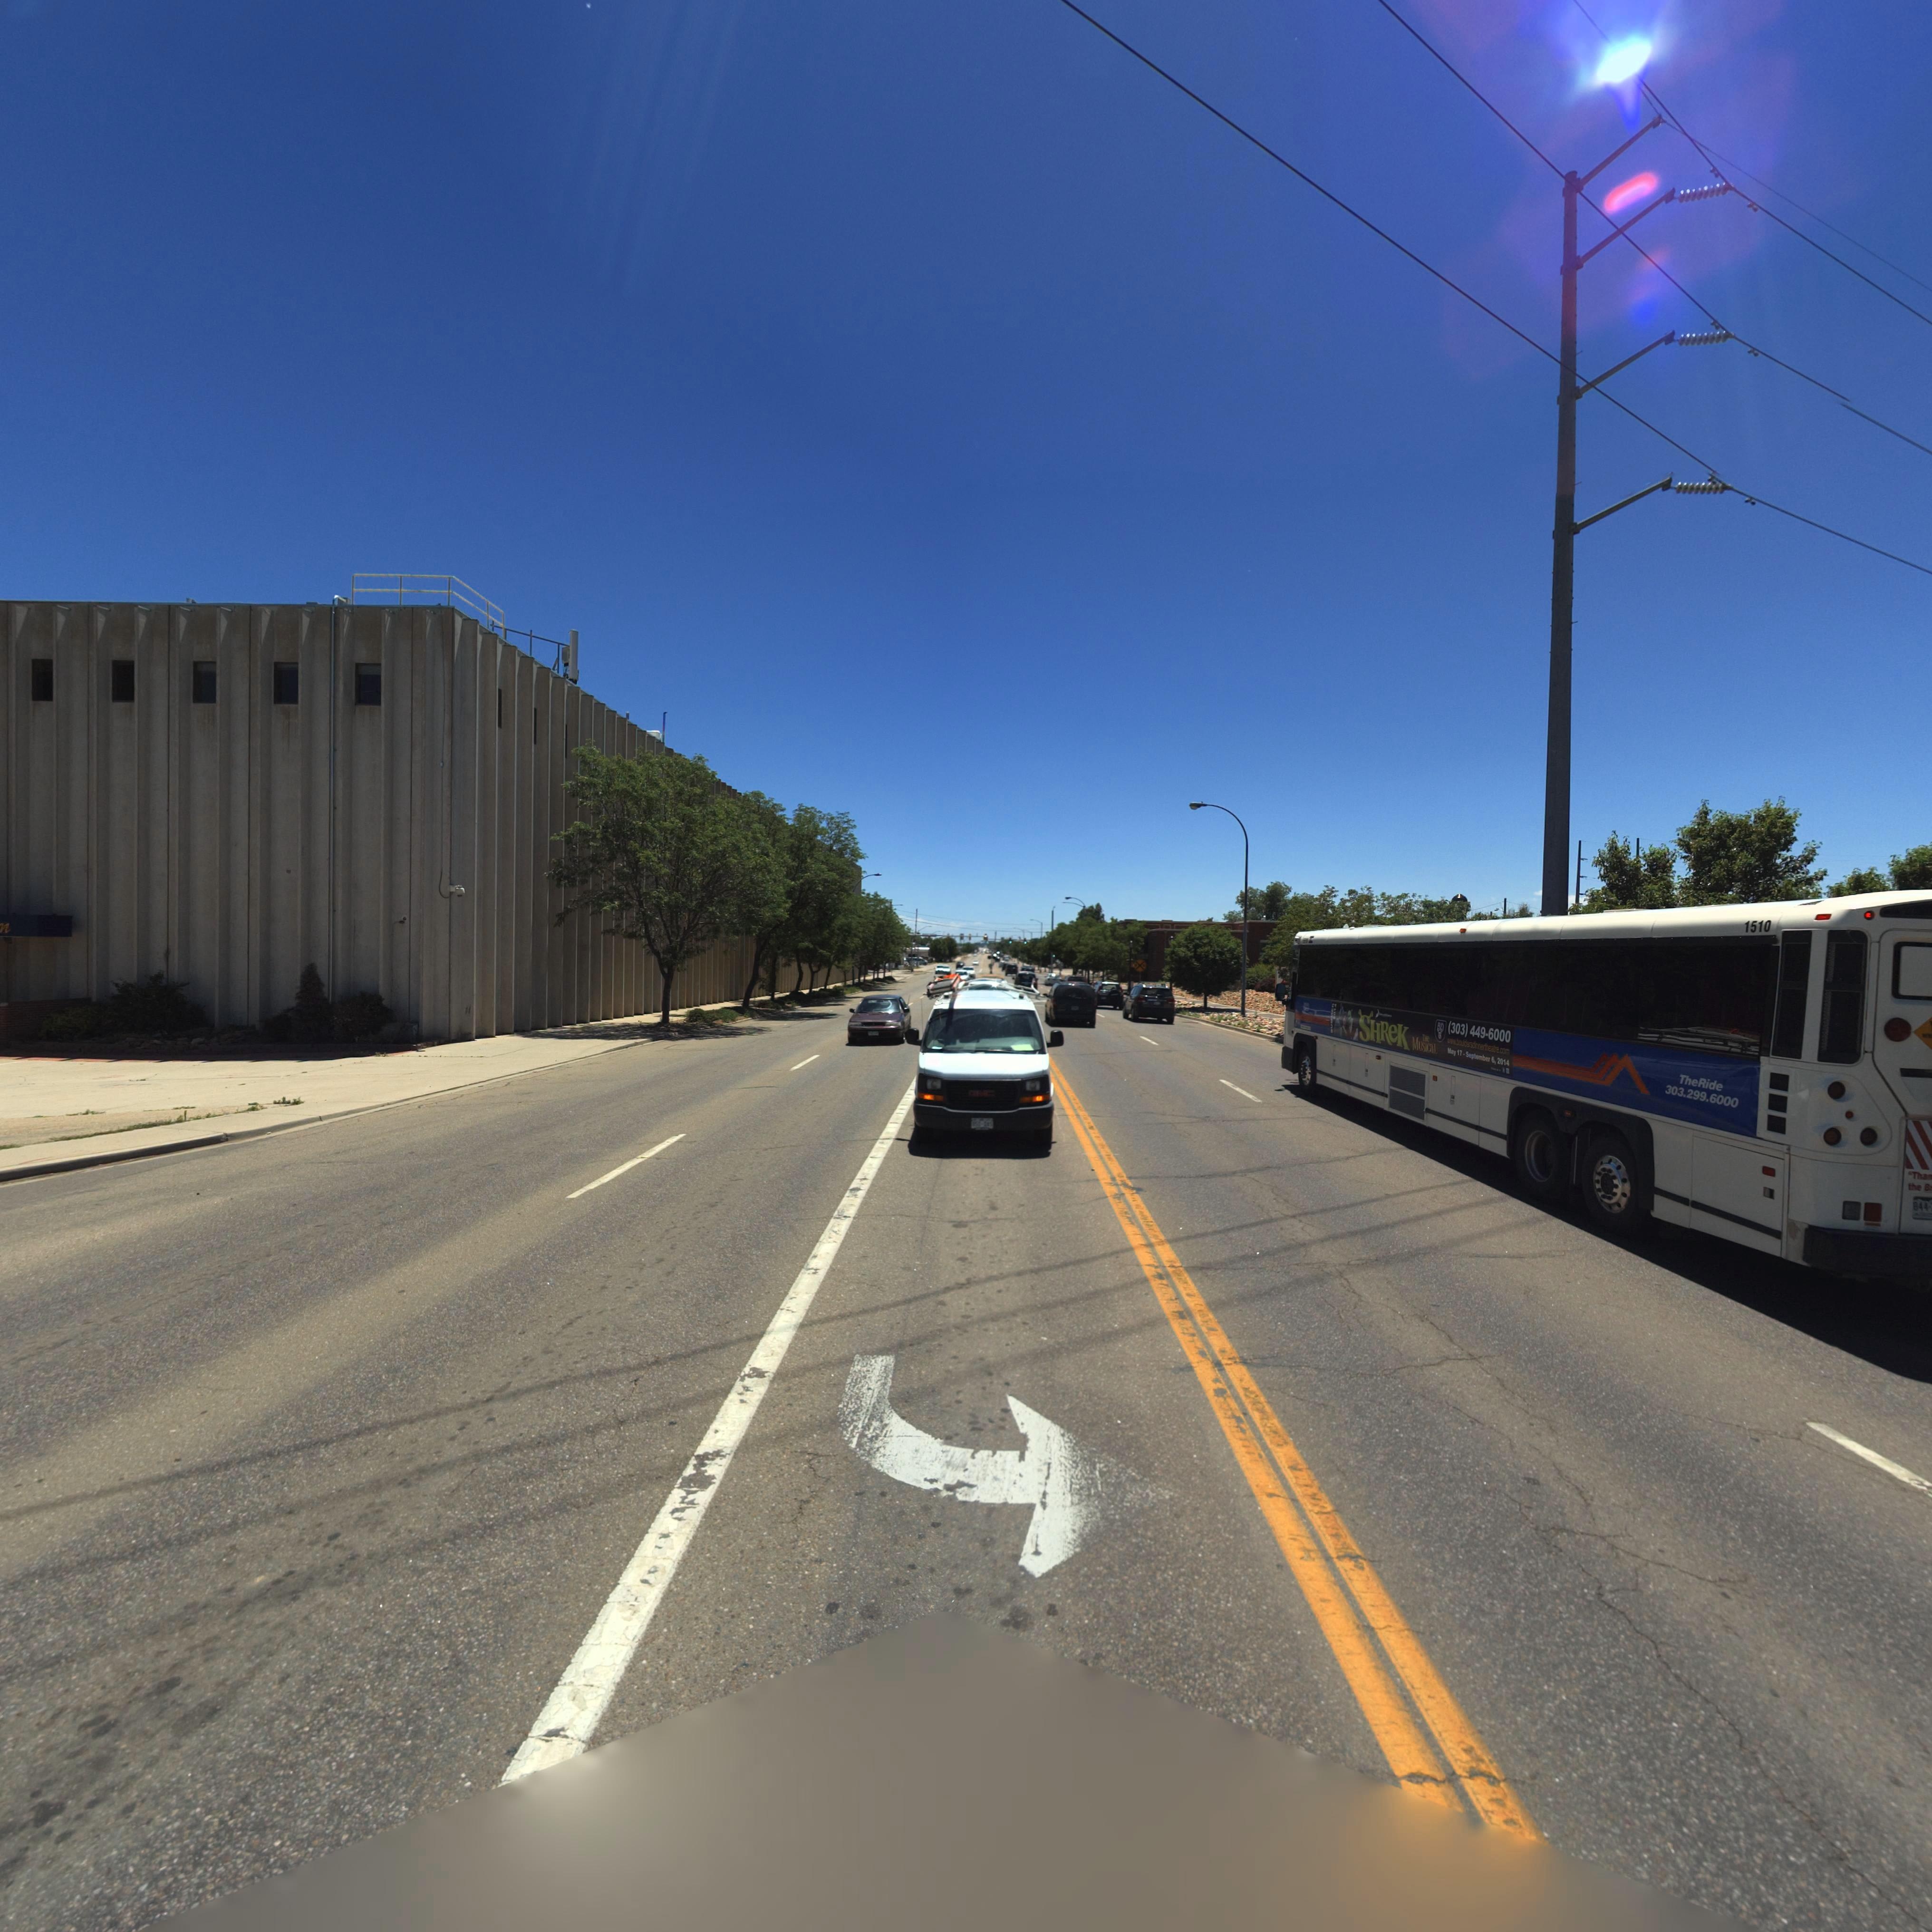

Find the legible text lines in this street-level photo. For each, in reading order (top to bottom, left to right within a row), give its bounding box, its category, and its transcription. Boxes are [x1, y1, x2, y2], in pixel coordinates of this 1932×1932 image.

[0, 922, 11, 934] StreetName: n